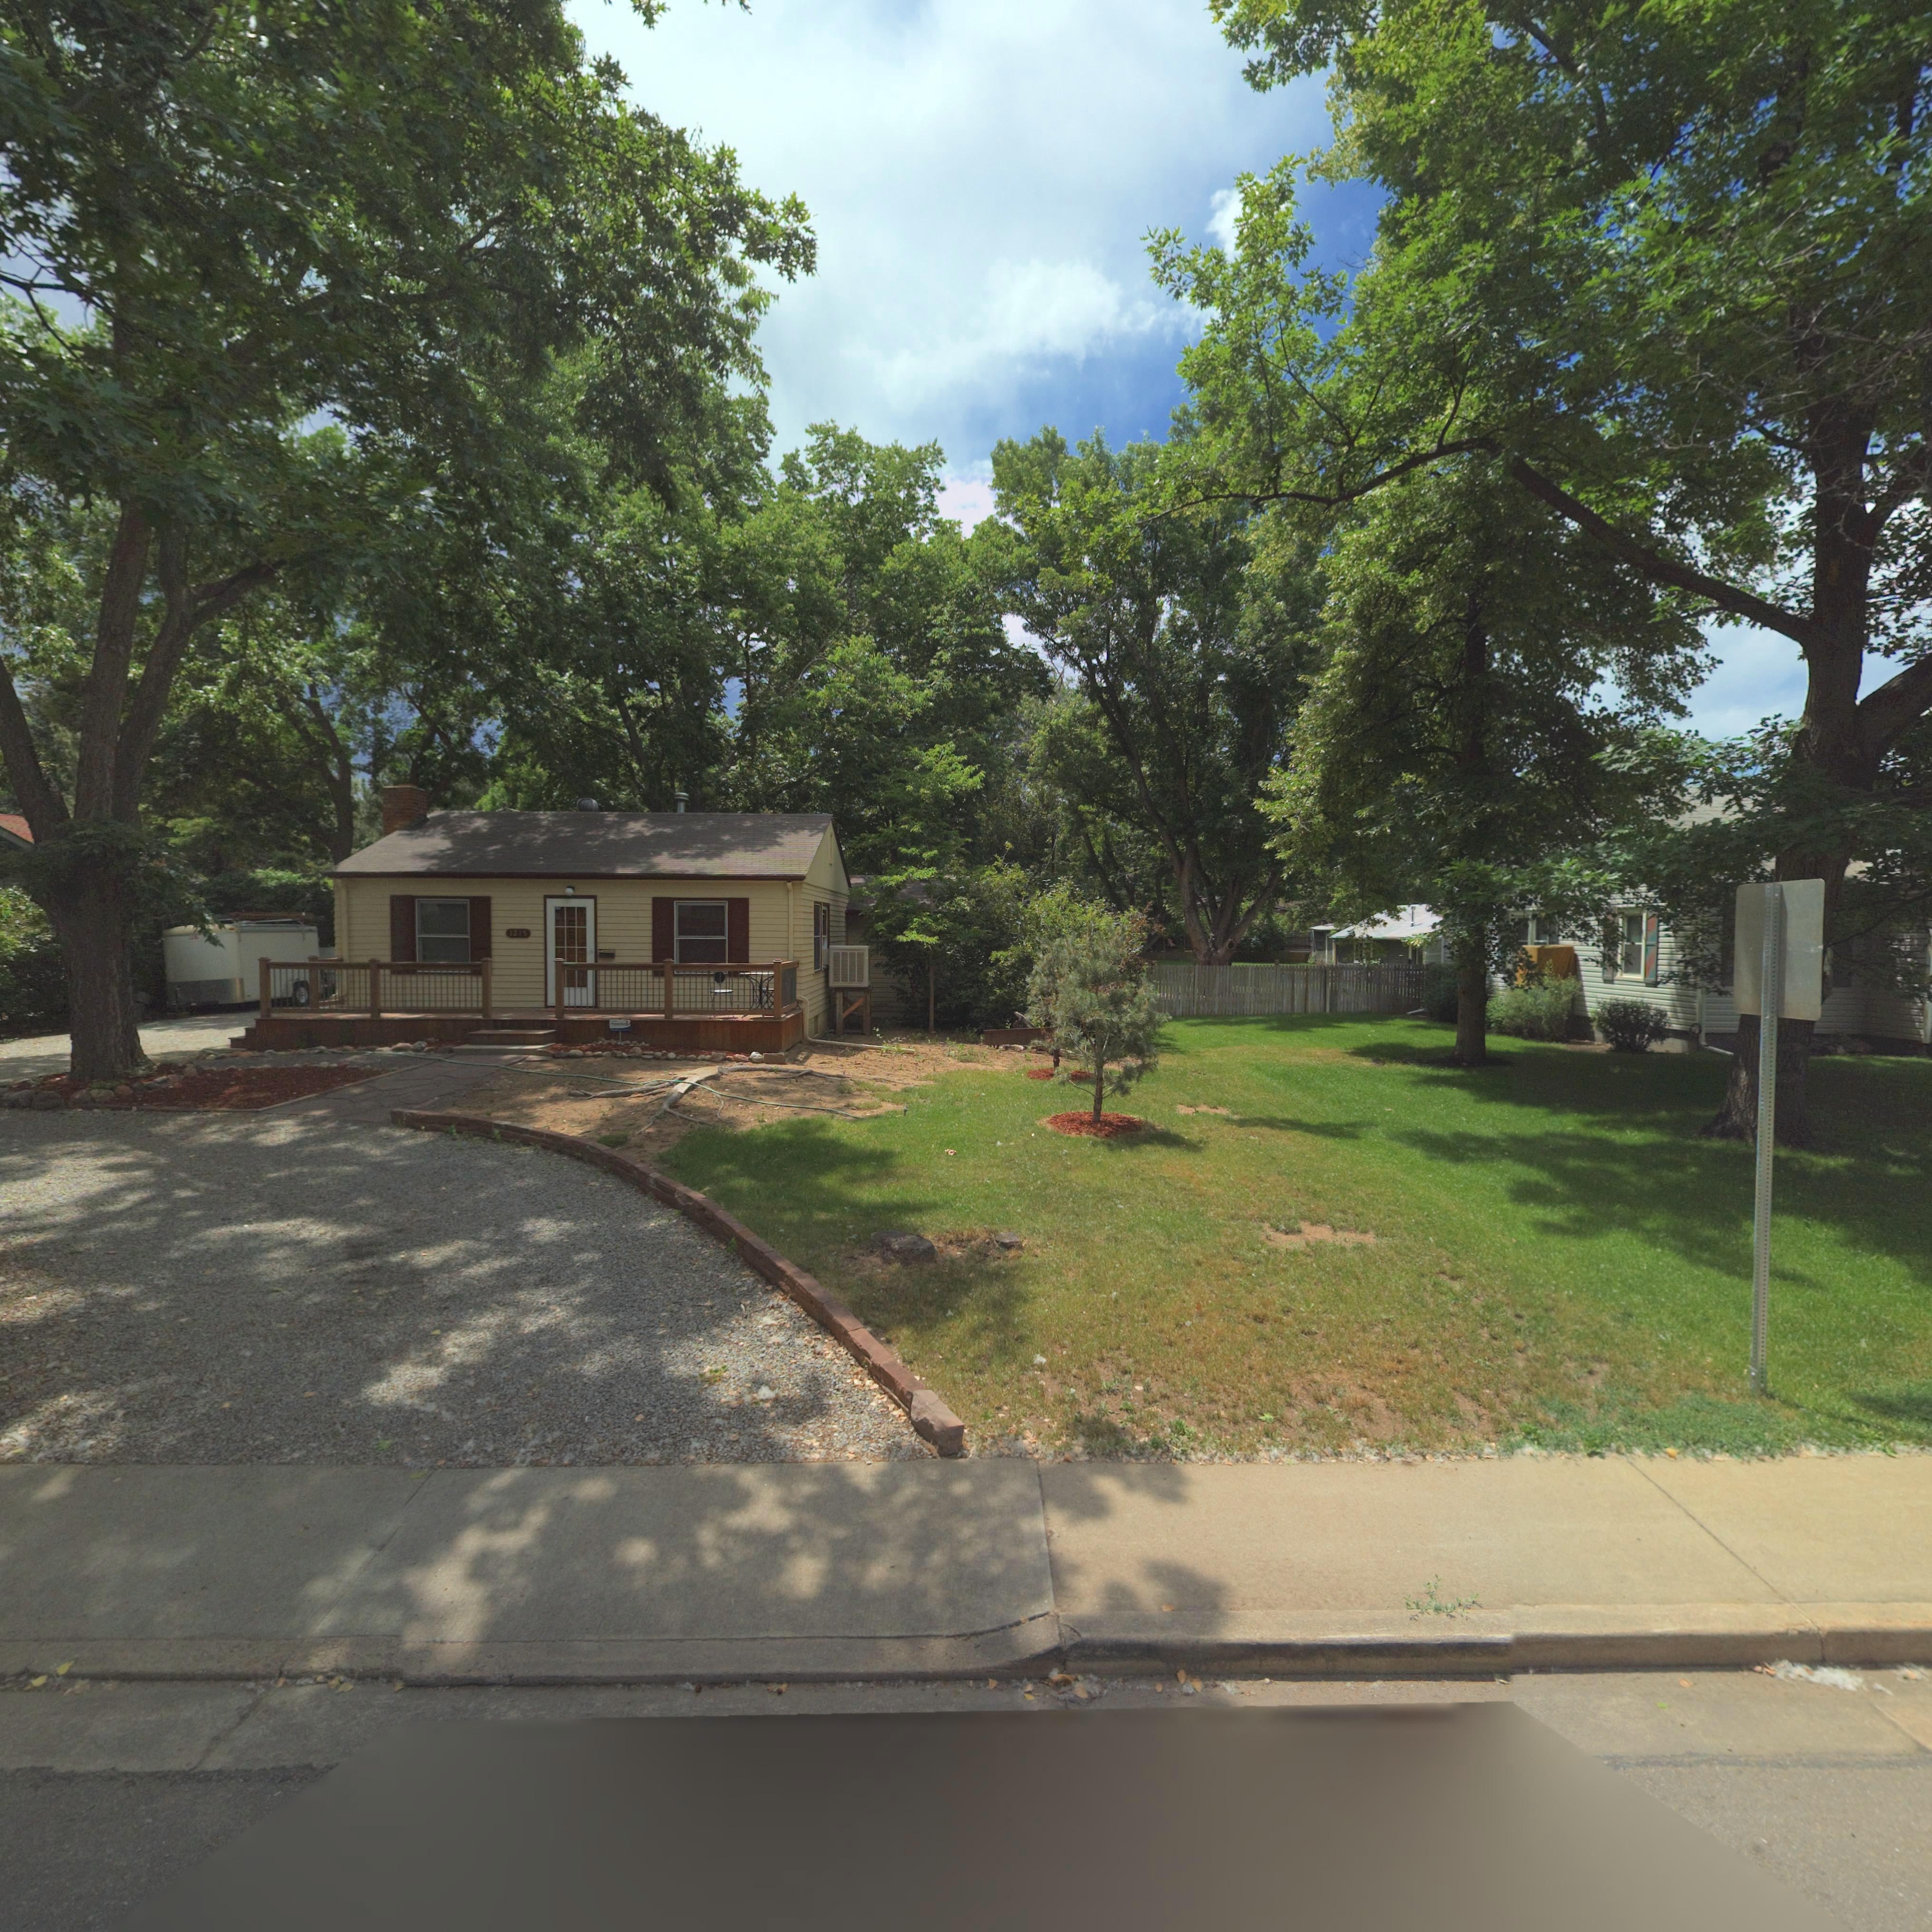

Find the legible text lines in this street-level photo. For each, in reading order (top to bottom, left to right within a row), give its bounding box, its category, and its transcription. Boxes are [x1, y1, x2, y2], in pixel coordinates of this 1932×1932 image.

[509, 929, 527, 936] StreetNumber: 1215